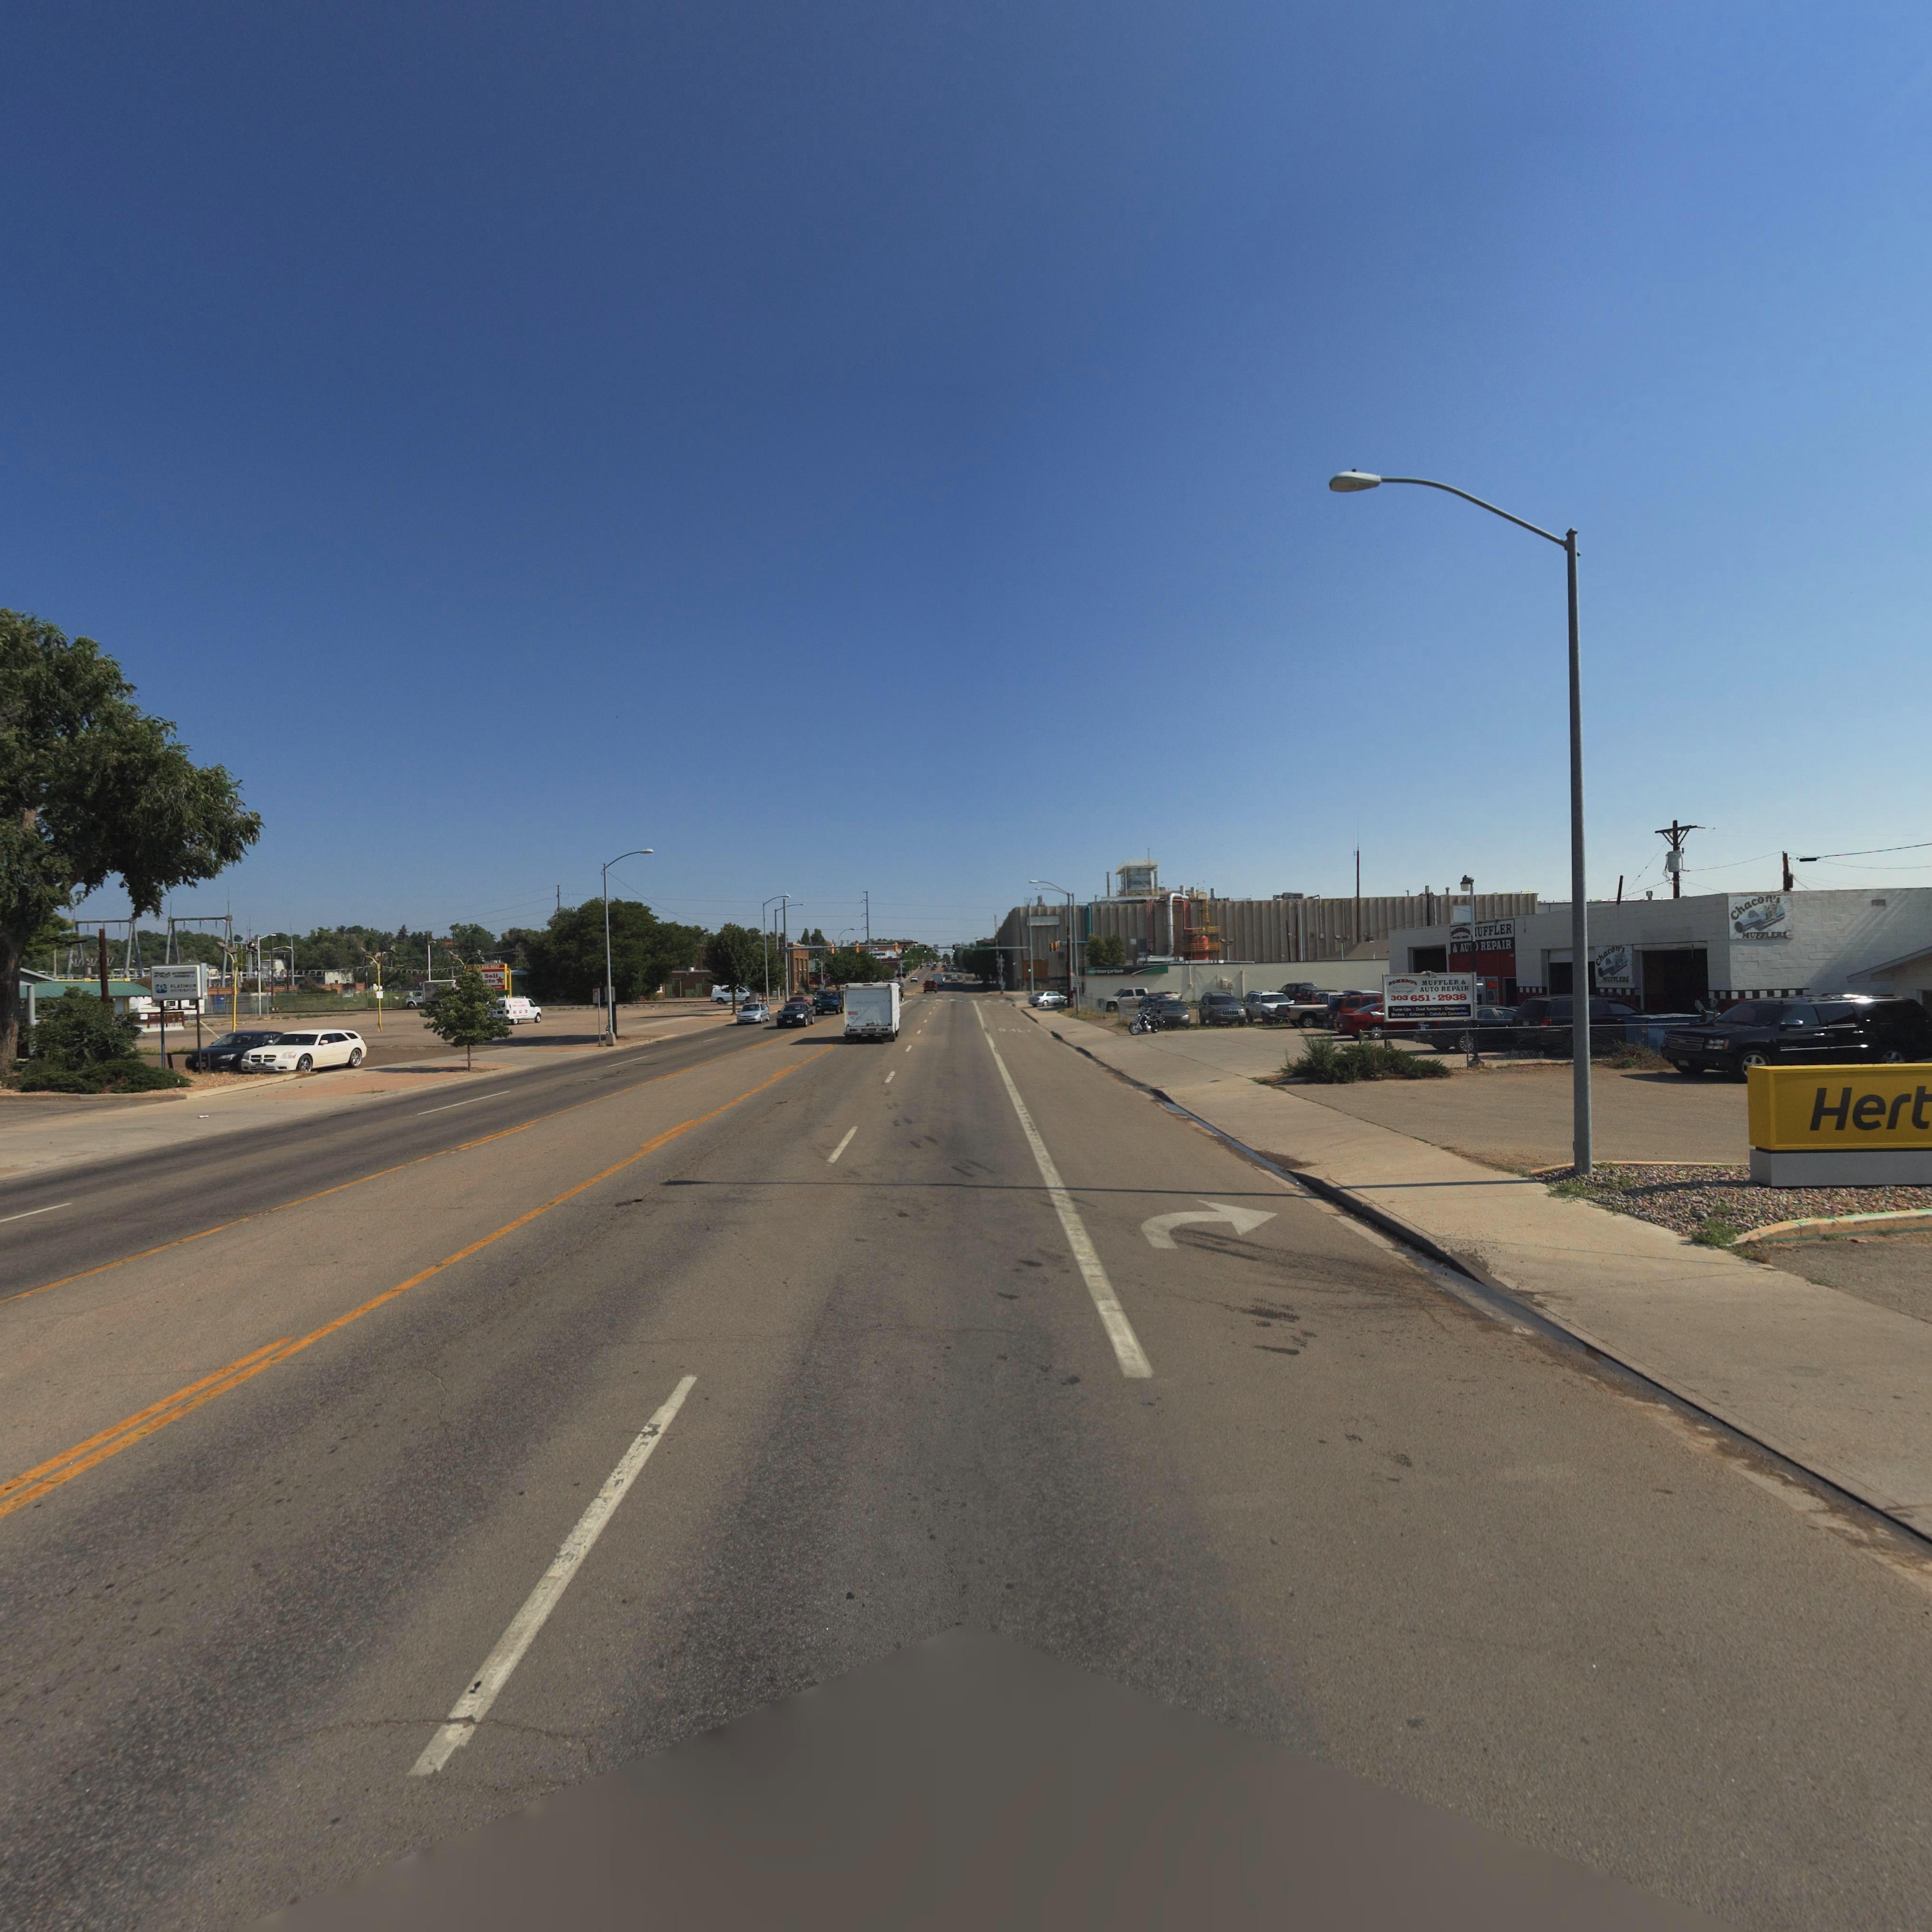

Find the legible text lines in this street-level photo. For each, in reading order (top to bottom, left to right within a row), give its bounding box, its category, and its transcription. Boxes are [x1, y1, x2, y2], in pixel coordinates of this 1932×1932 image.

[1450, 927, 1470, 937] BusinessName: ROME****
[1477, 923, 1512, 937] BusinessName: UFFLER
[1452, 939, 1511, 953] BusinessName: & AUT* REPAIR
[153, 972, 171, 978] BusinessName: PRO
[172, 971, 195, 975] BusinessName: **********S
[484, 973, 498, 978] BusinessName: Sell
[1086, 968, 1124, 974] BusinessName: enterprise
[488, 978, 495, 983] BusinessName: to
[1388, 978, 1417, 986] BusinessName: ROMERO'S
[1421, 979, 1459, 985] BusinessName: MUFFLER
[1420, 985, 1468, 992] BusinessName: AUTO REPAIR
[1808, 1086, 1913, 1131] BusinessName: Her